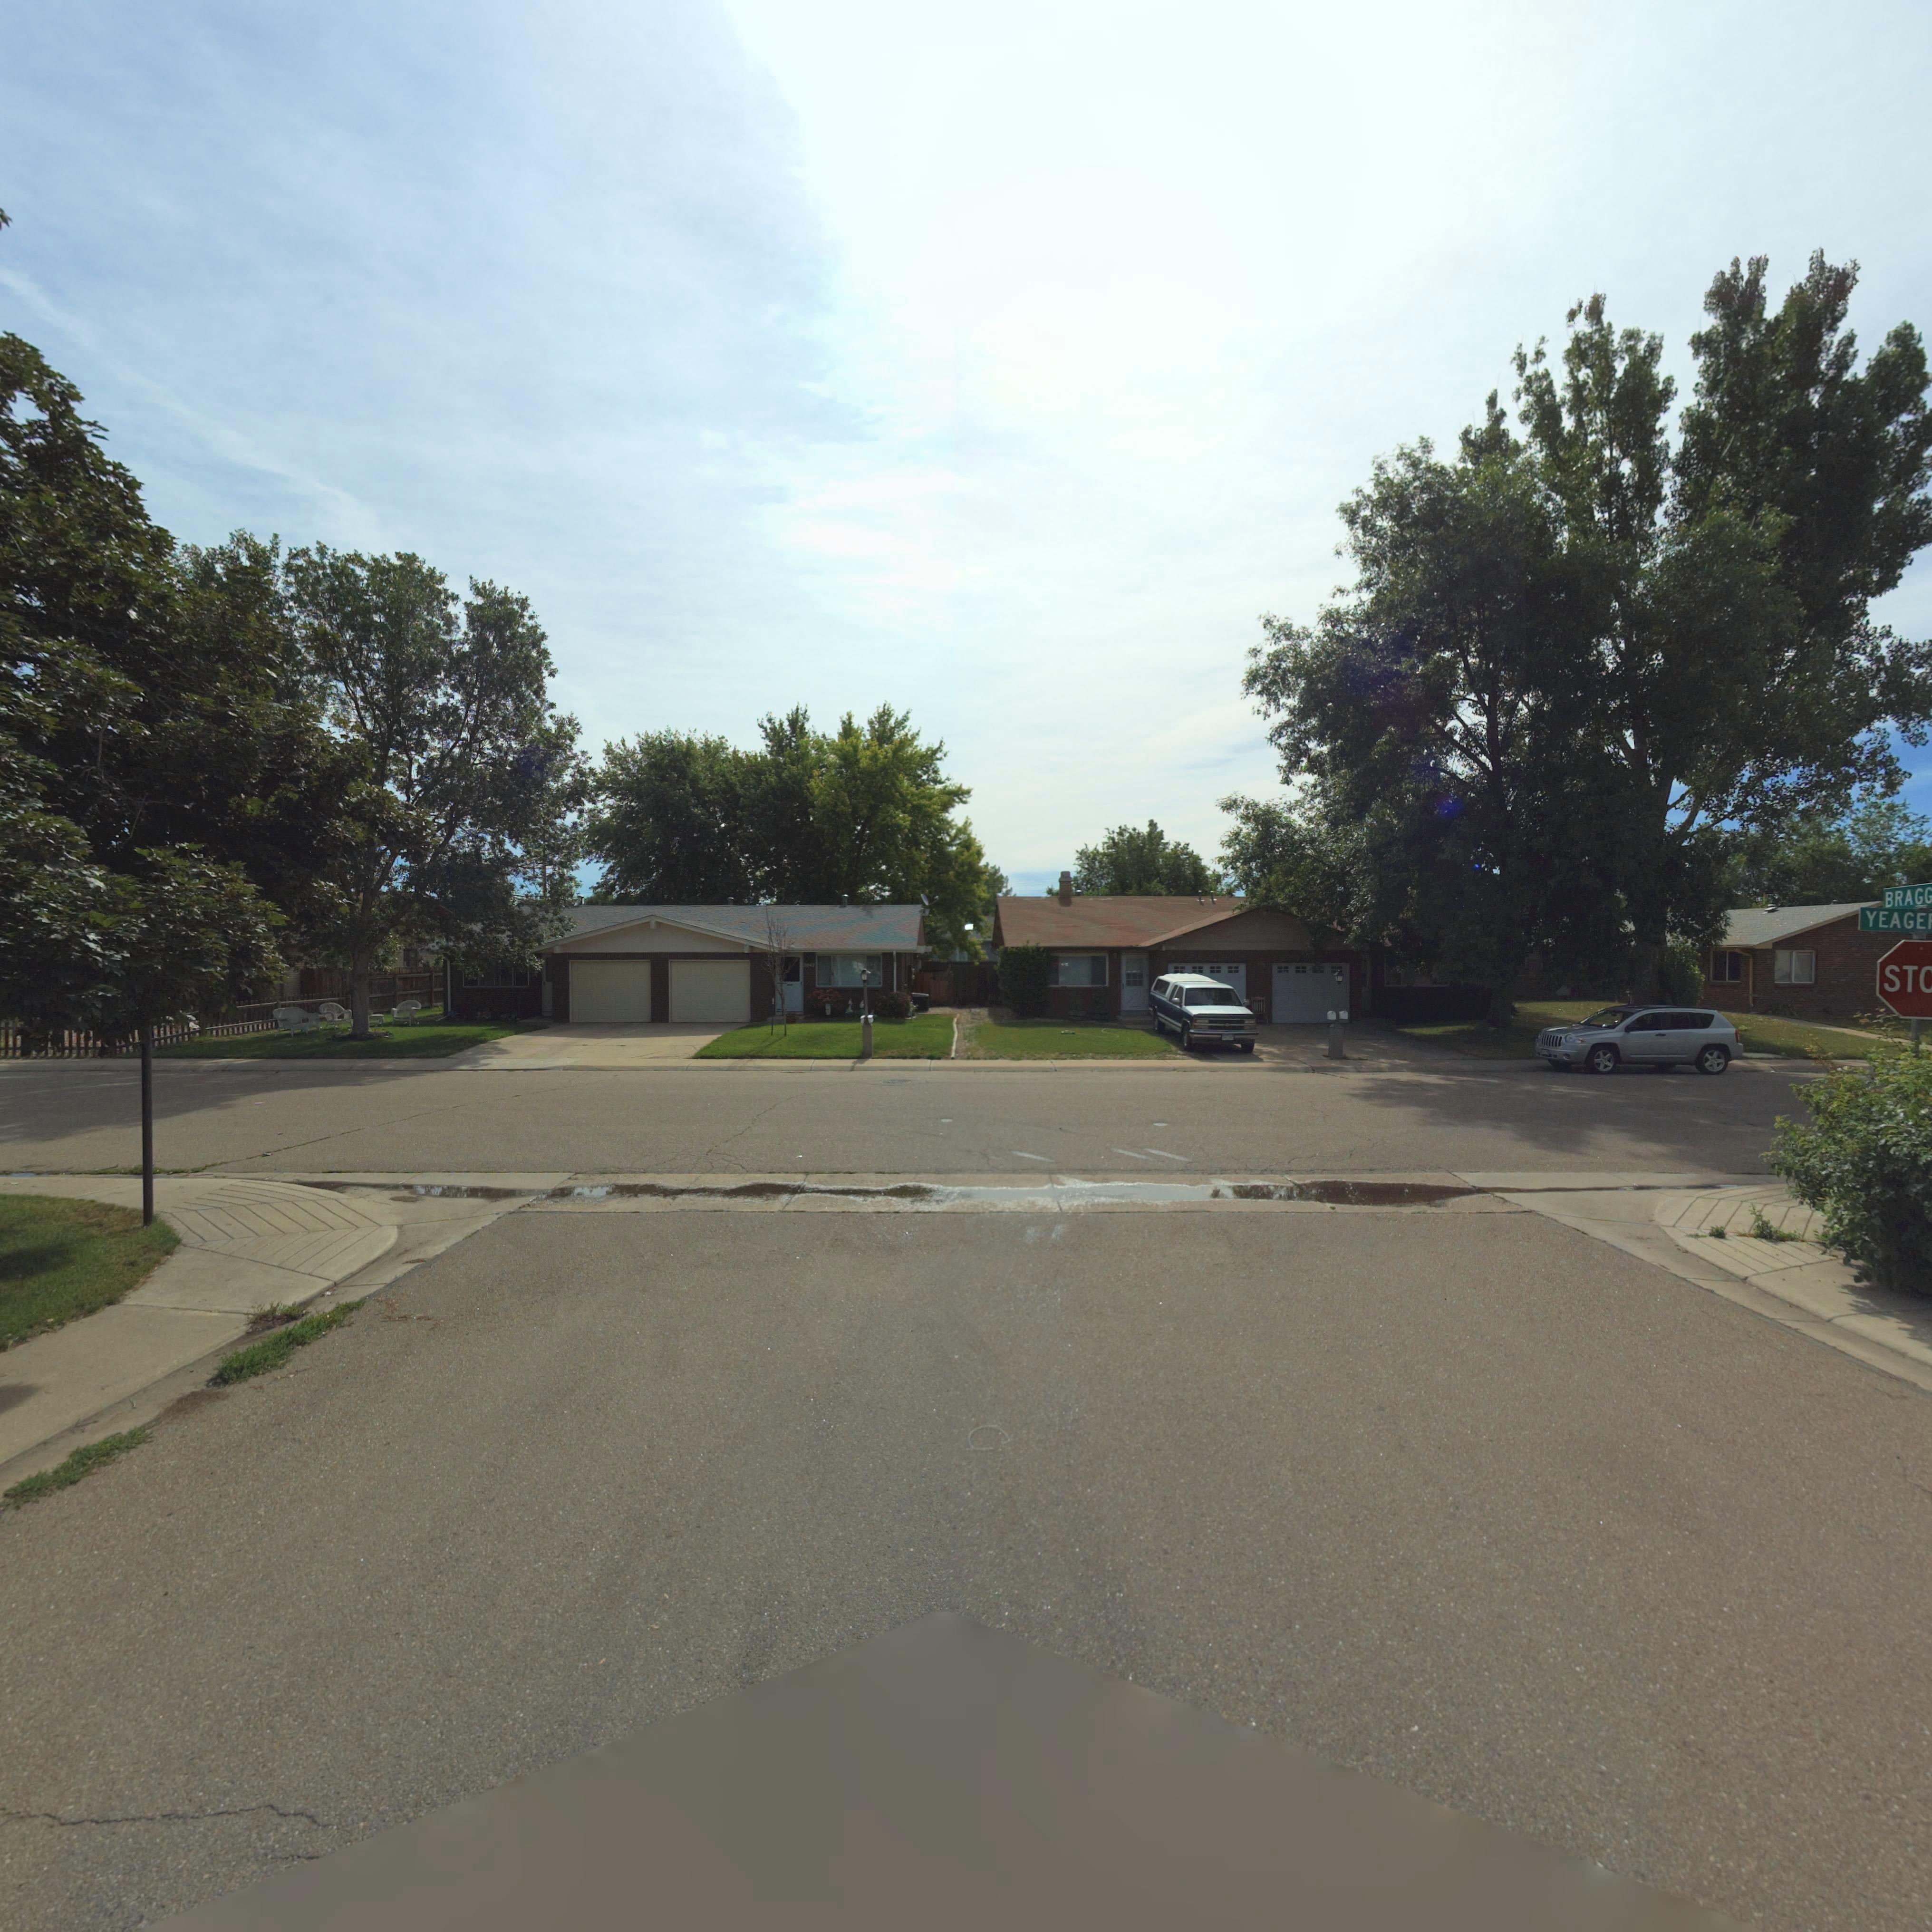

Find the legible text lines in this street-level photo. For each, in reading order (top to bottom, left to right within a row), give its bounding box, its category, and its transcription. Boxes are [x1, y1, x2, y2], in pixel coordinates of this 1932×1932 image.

[1885, 887, 1932, 908] StreetName: BRAGG
[1865, 909, 1927, 929] StreetName: YEAGE
[803, 962, 814, 967] StreetNumber: 204*